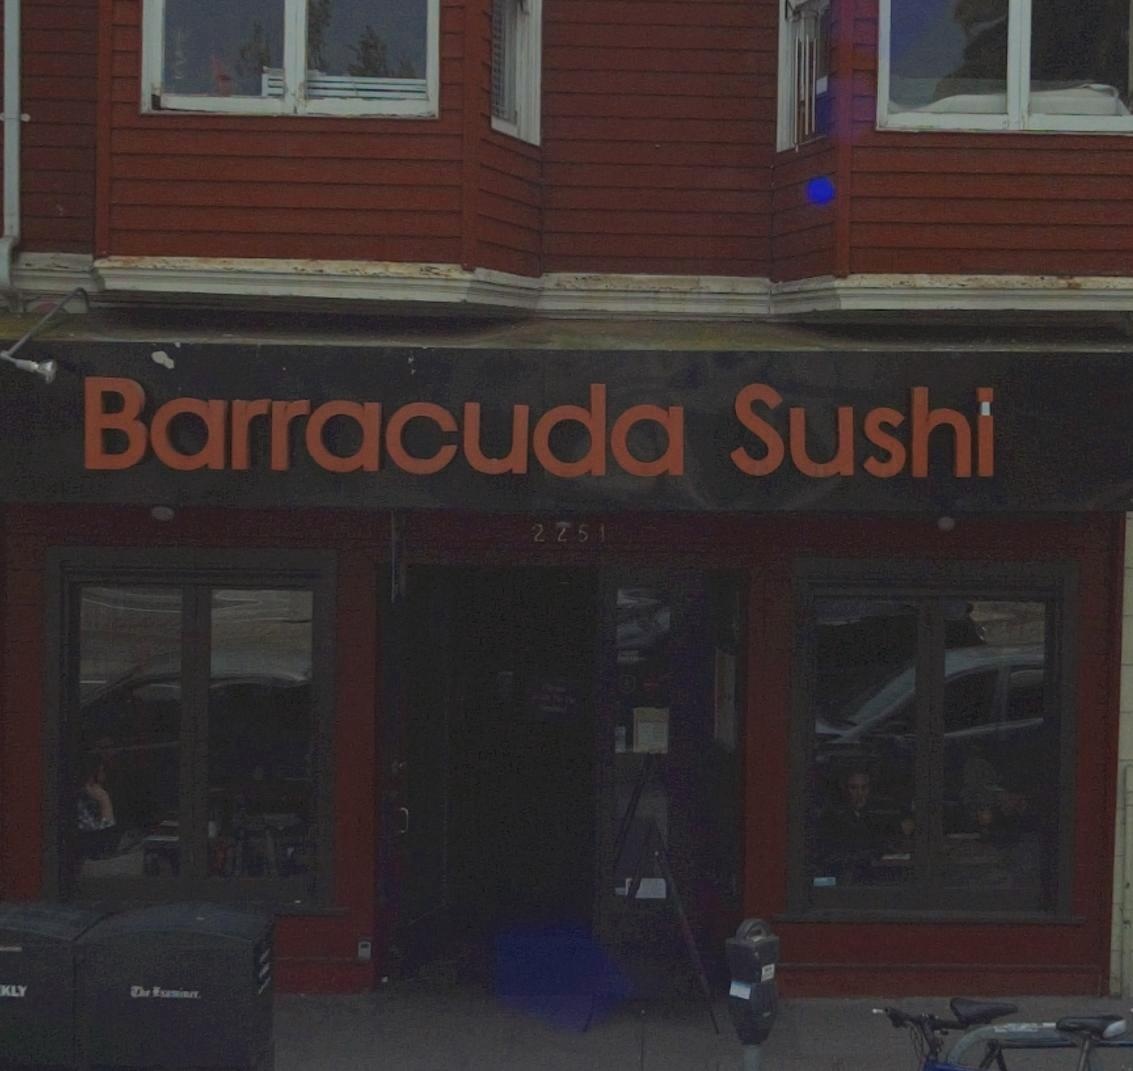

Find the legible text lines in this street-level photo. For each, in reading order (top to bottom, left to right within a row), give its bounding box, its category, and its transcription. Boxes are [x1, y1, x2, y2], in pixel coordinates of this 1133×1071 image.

[80, 372, 1001, 484] BusinessName: Barracuda Sushi
[529, 520, 608, 545] StreetNumber: 2251
[0, 981, 31, 999] None: KLY